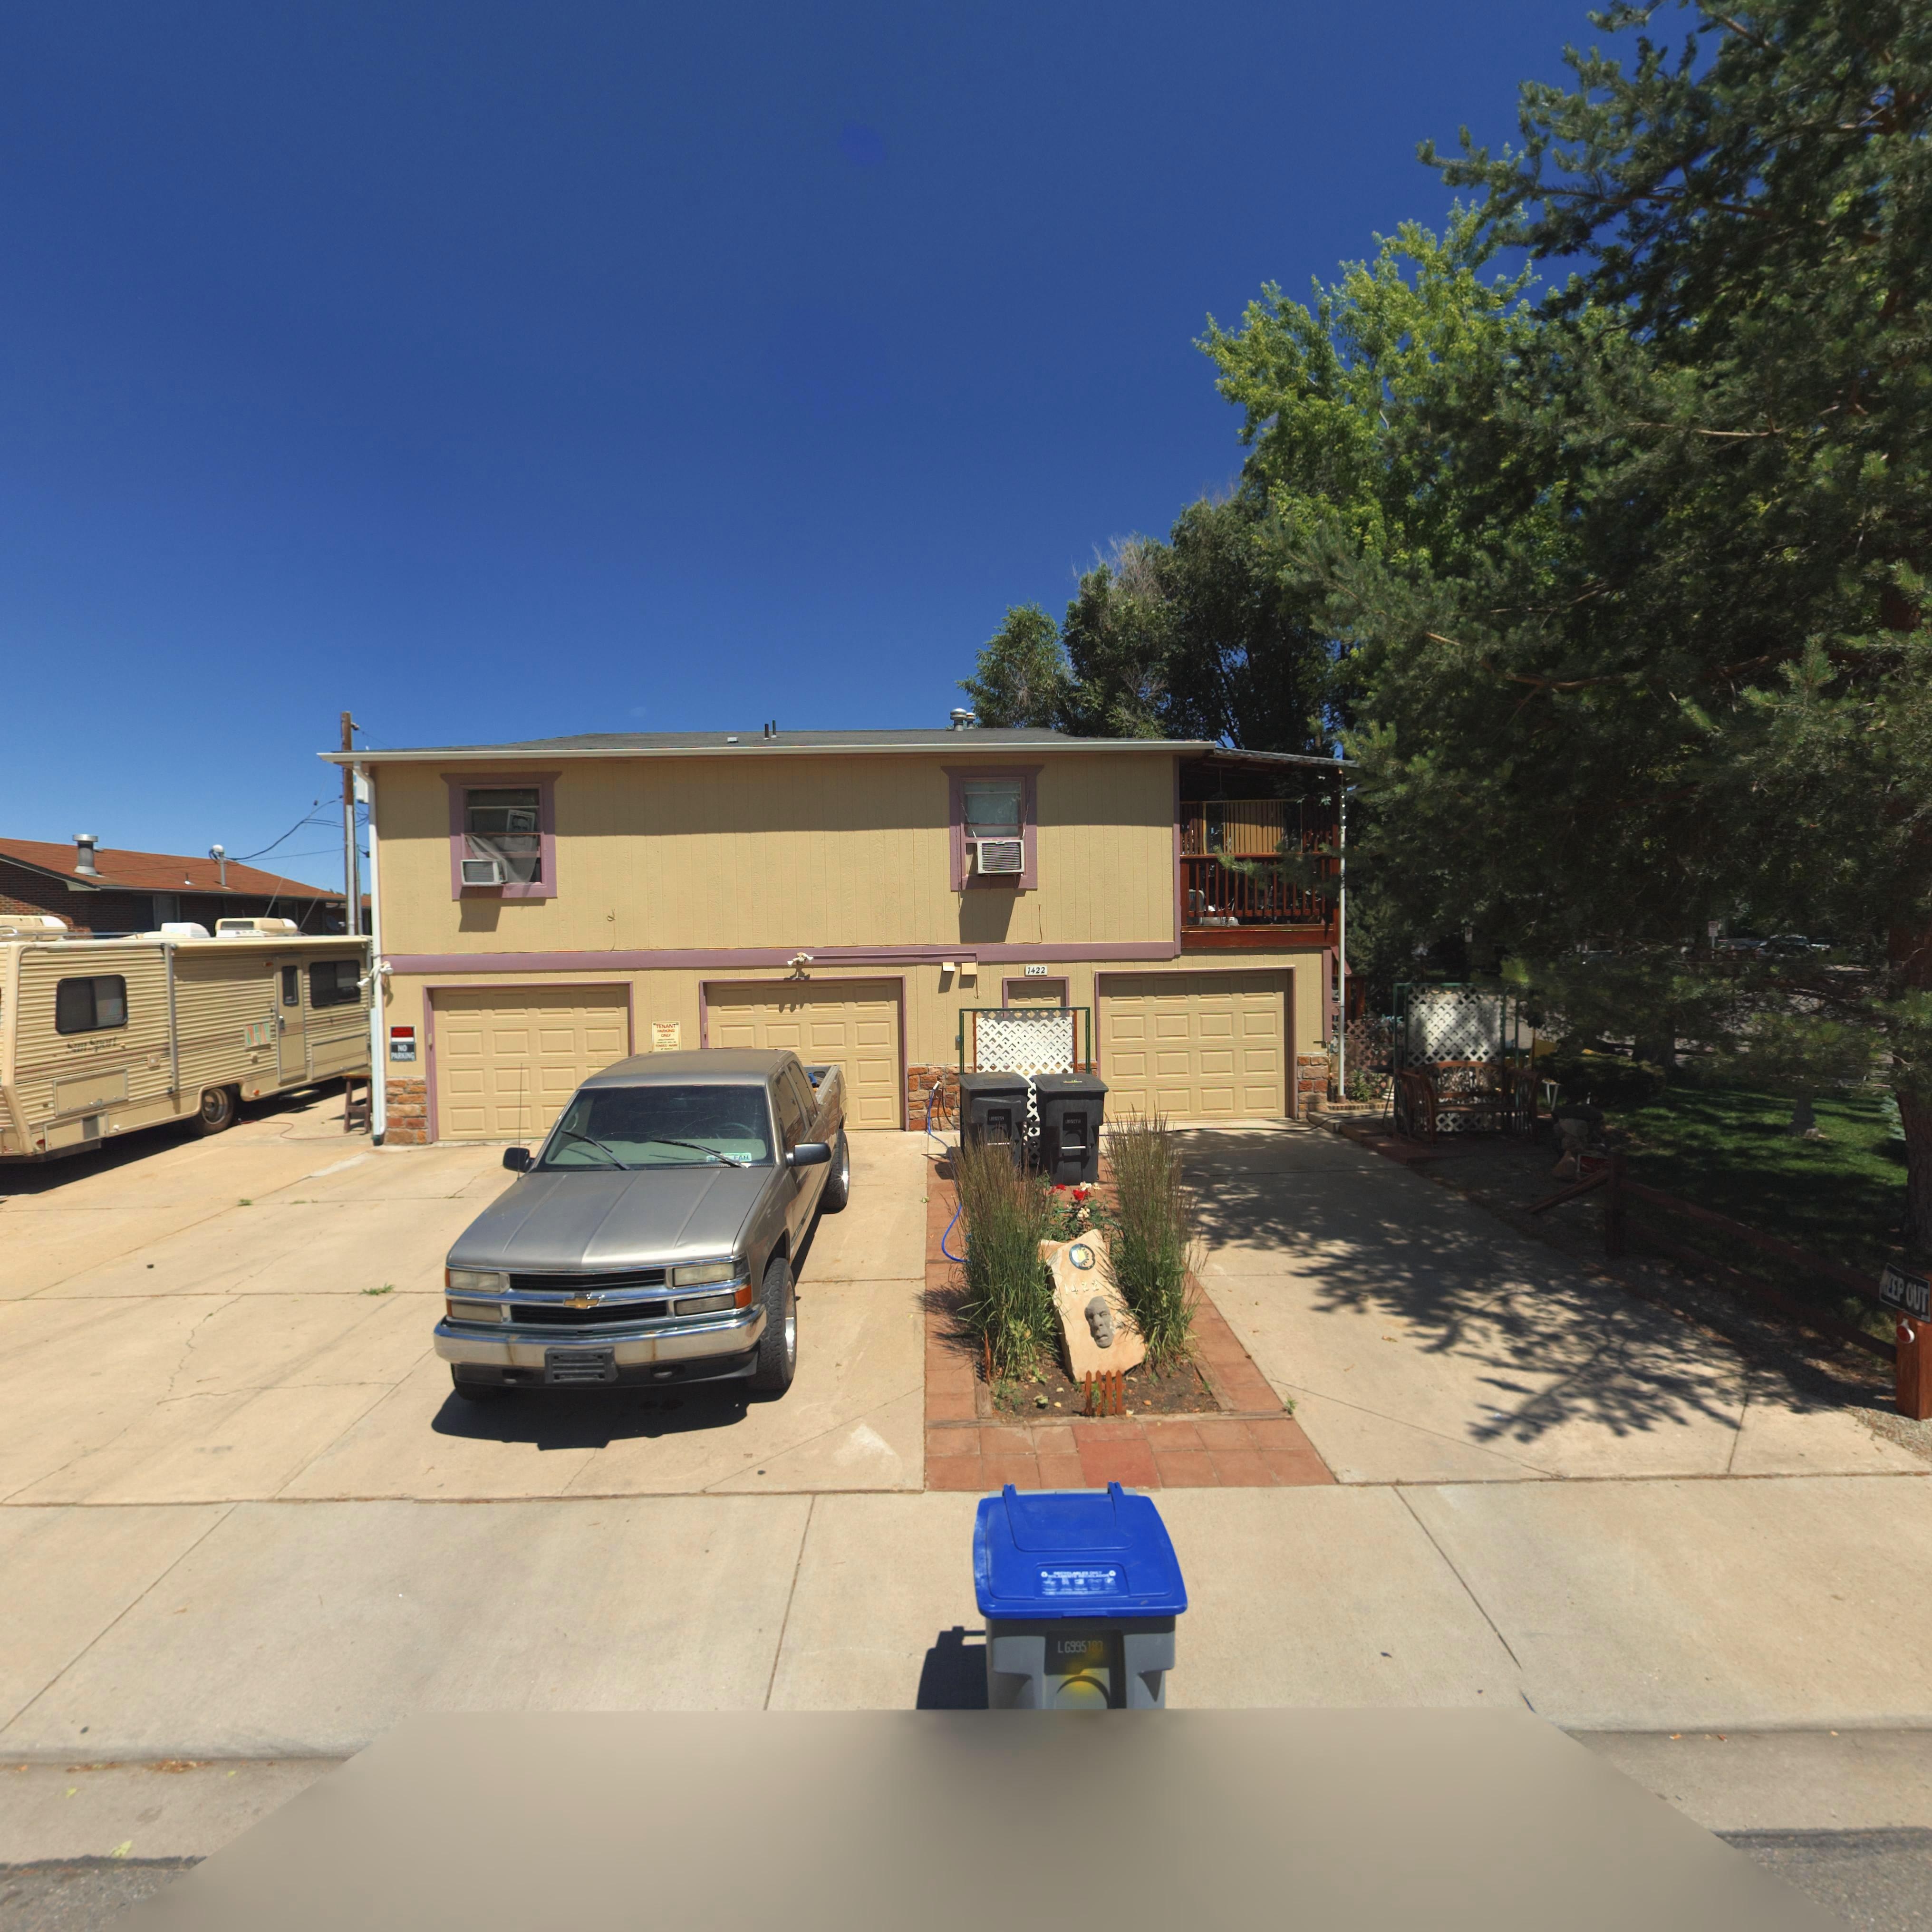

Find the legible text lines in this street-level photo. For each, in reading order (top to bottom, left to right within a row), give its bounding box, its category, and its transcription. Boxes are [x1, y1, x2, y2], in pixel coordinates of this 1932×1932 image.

[1027, 966, 1045, 974] StreetNumber: 1422
[1063, 1279, 1100, 1295] StreetNumber: 1422